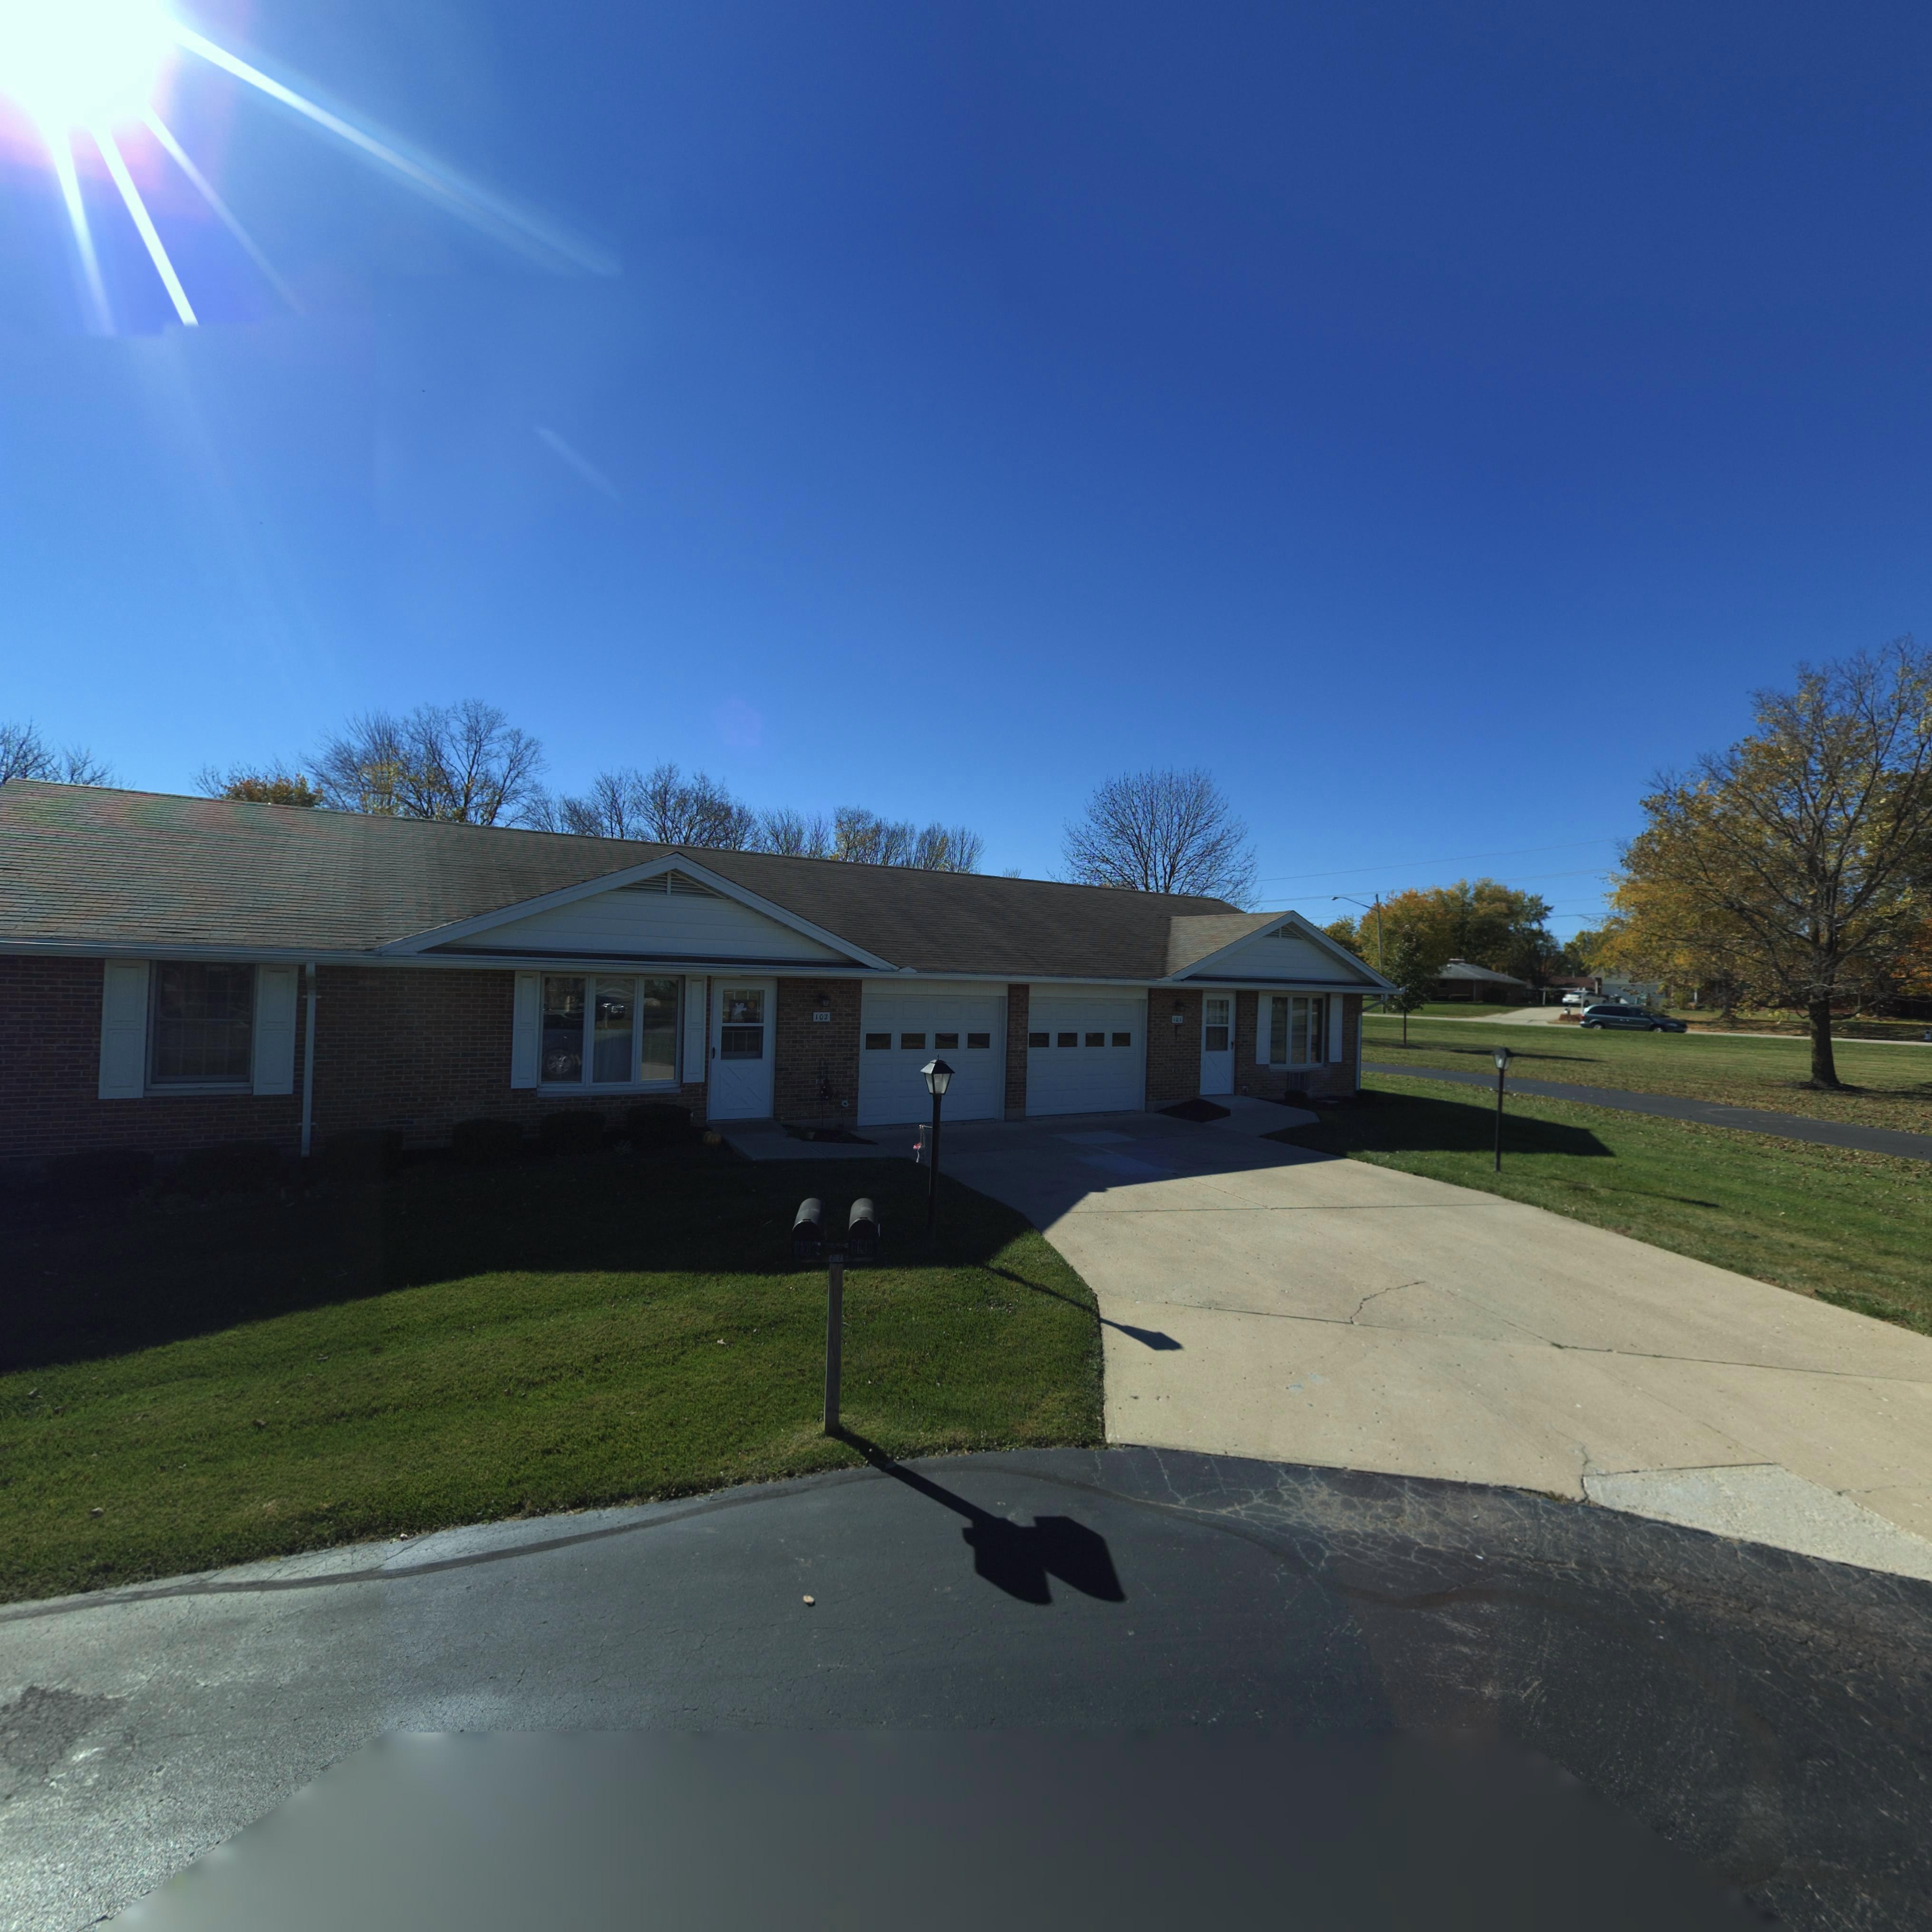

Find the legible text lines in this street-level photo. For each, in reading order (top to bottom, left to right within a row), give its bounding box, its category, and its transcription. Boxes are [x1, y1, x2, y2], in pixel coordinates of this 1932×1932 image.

[815, 1013, 829, 1021] StreetNumber: 102
[1172, 1016, 1182, 1023] StreetNumber: 101